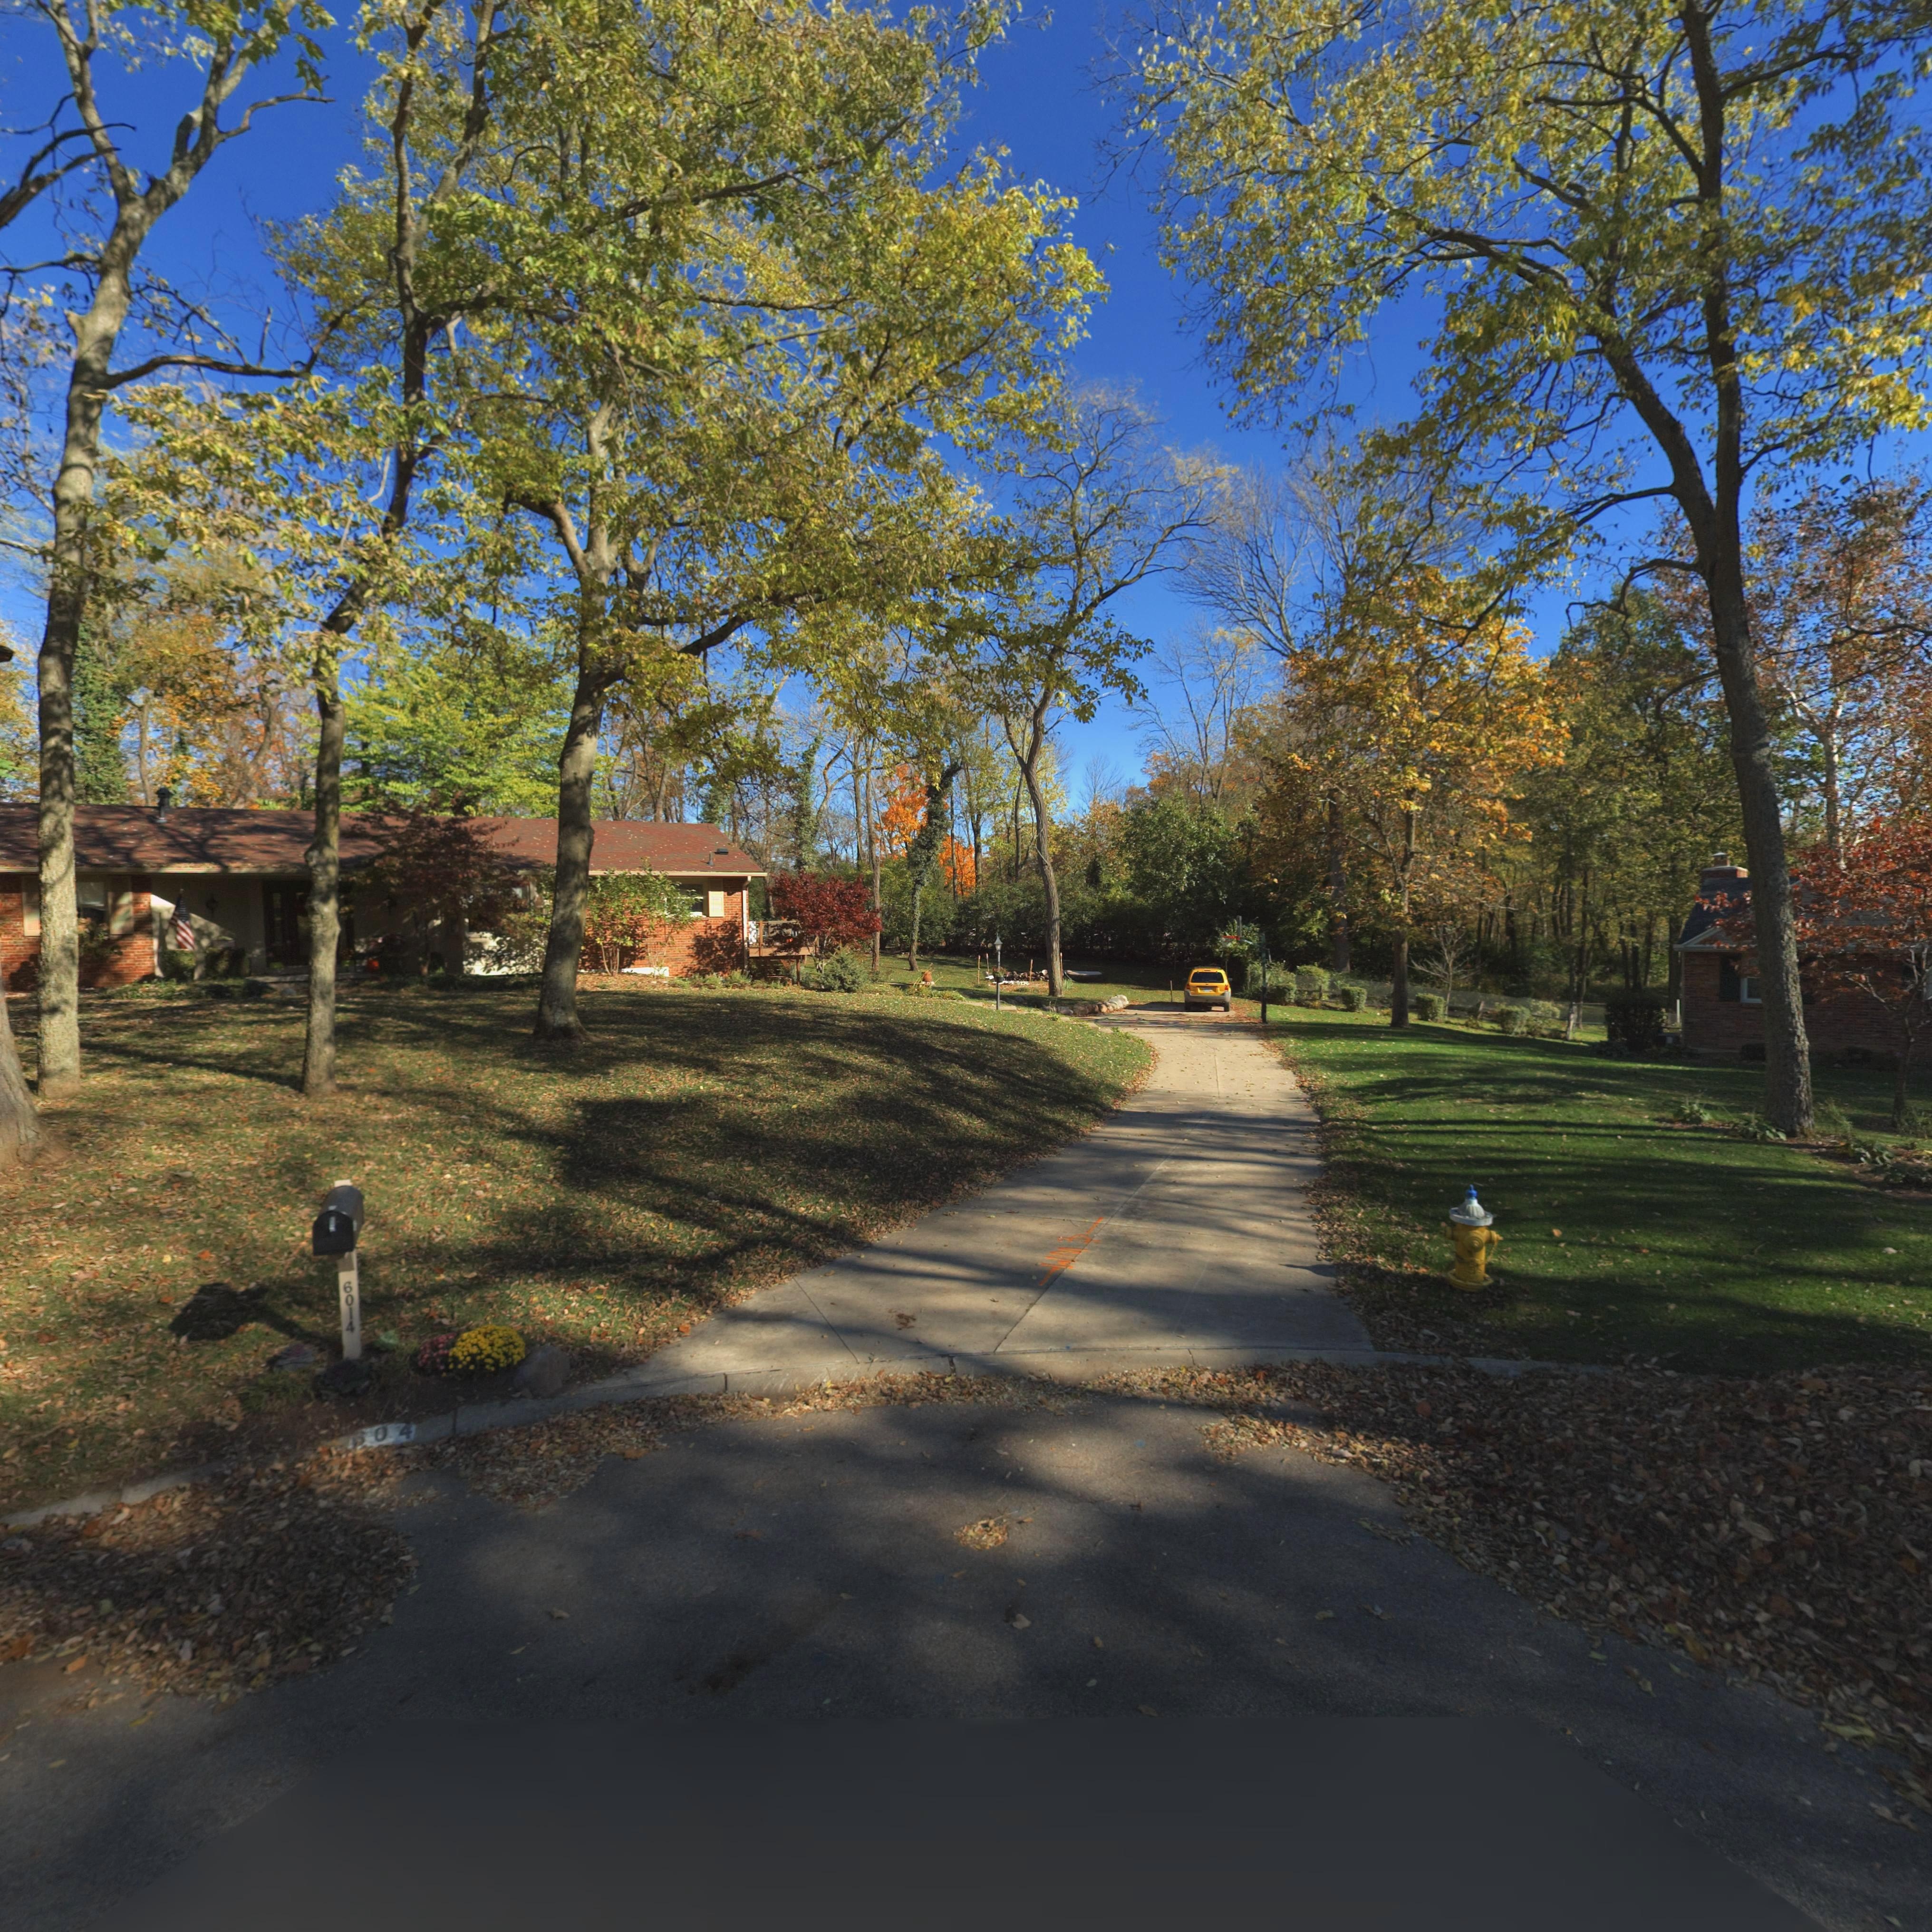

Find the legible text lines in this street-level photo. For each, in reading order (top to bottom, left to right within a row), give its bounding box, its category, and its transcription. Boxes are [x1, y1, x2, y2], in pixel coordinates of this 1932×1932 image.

[339, 1278, 359, 1336] StreetNumber: 6014
[371, 1420, 416, 1446] StreetNumber: 04